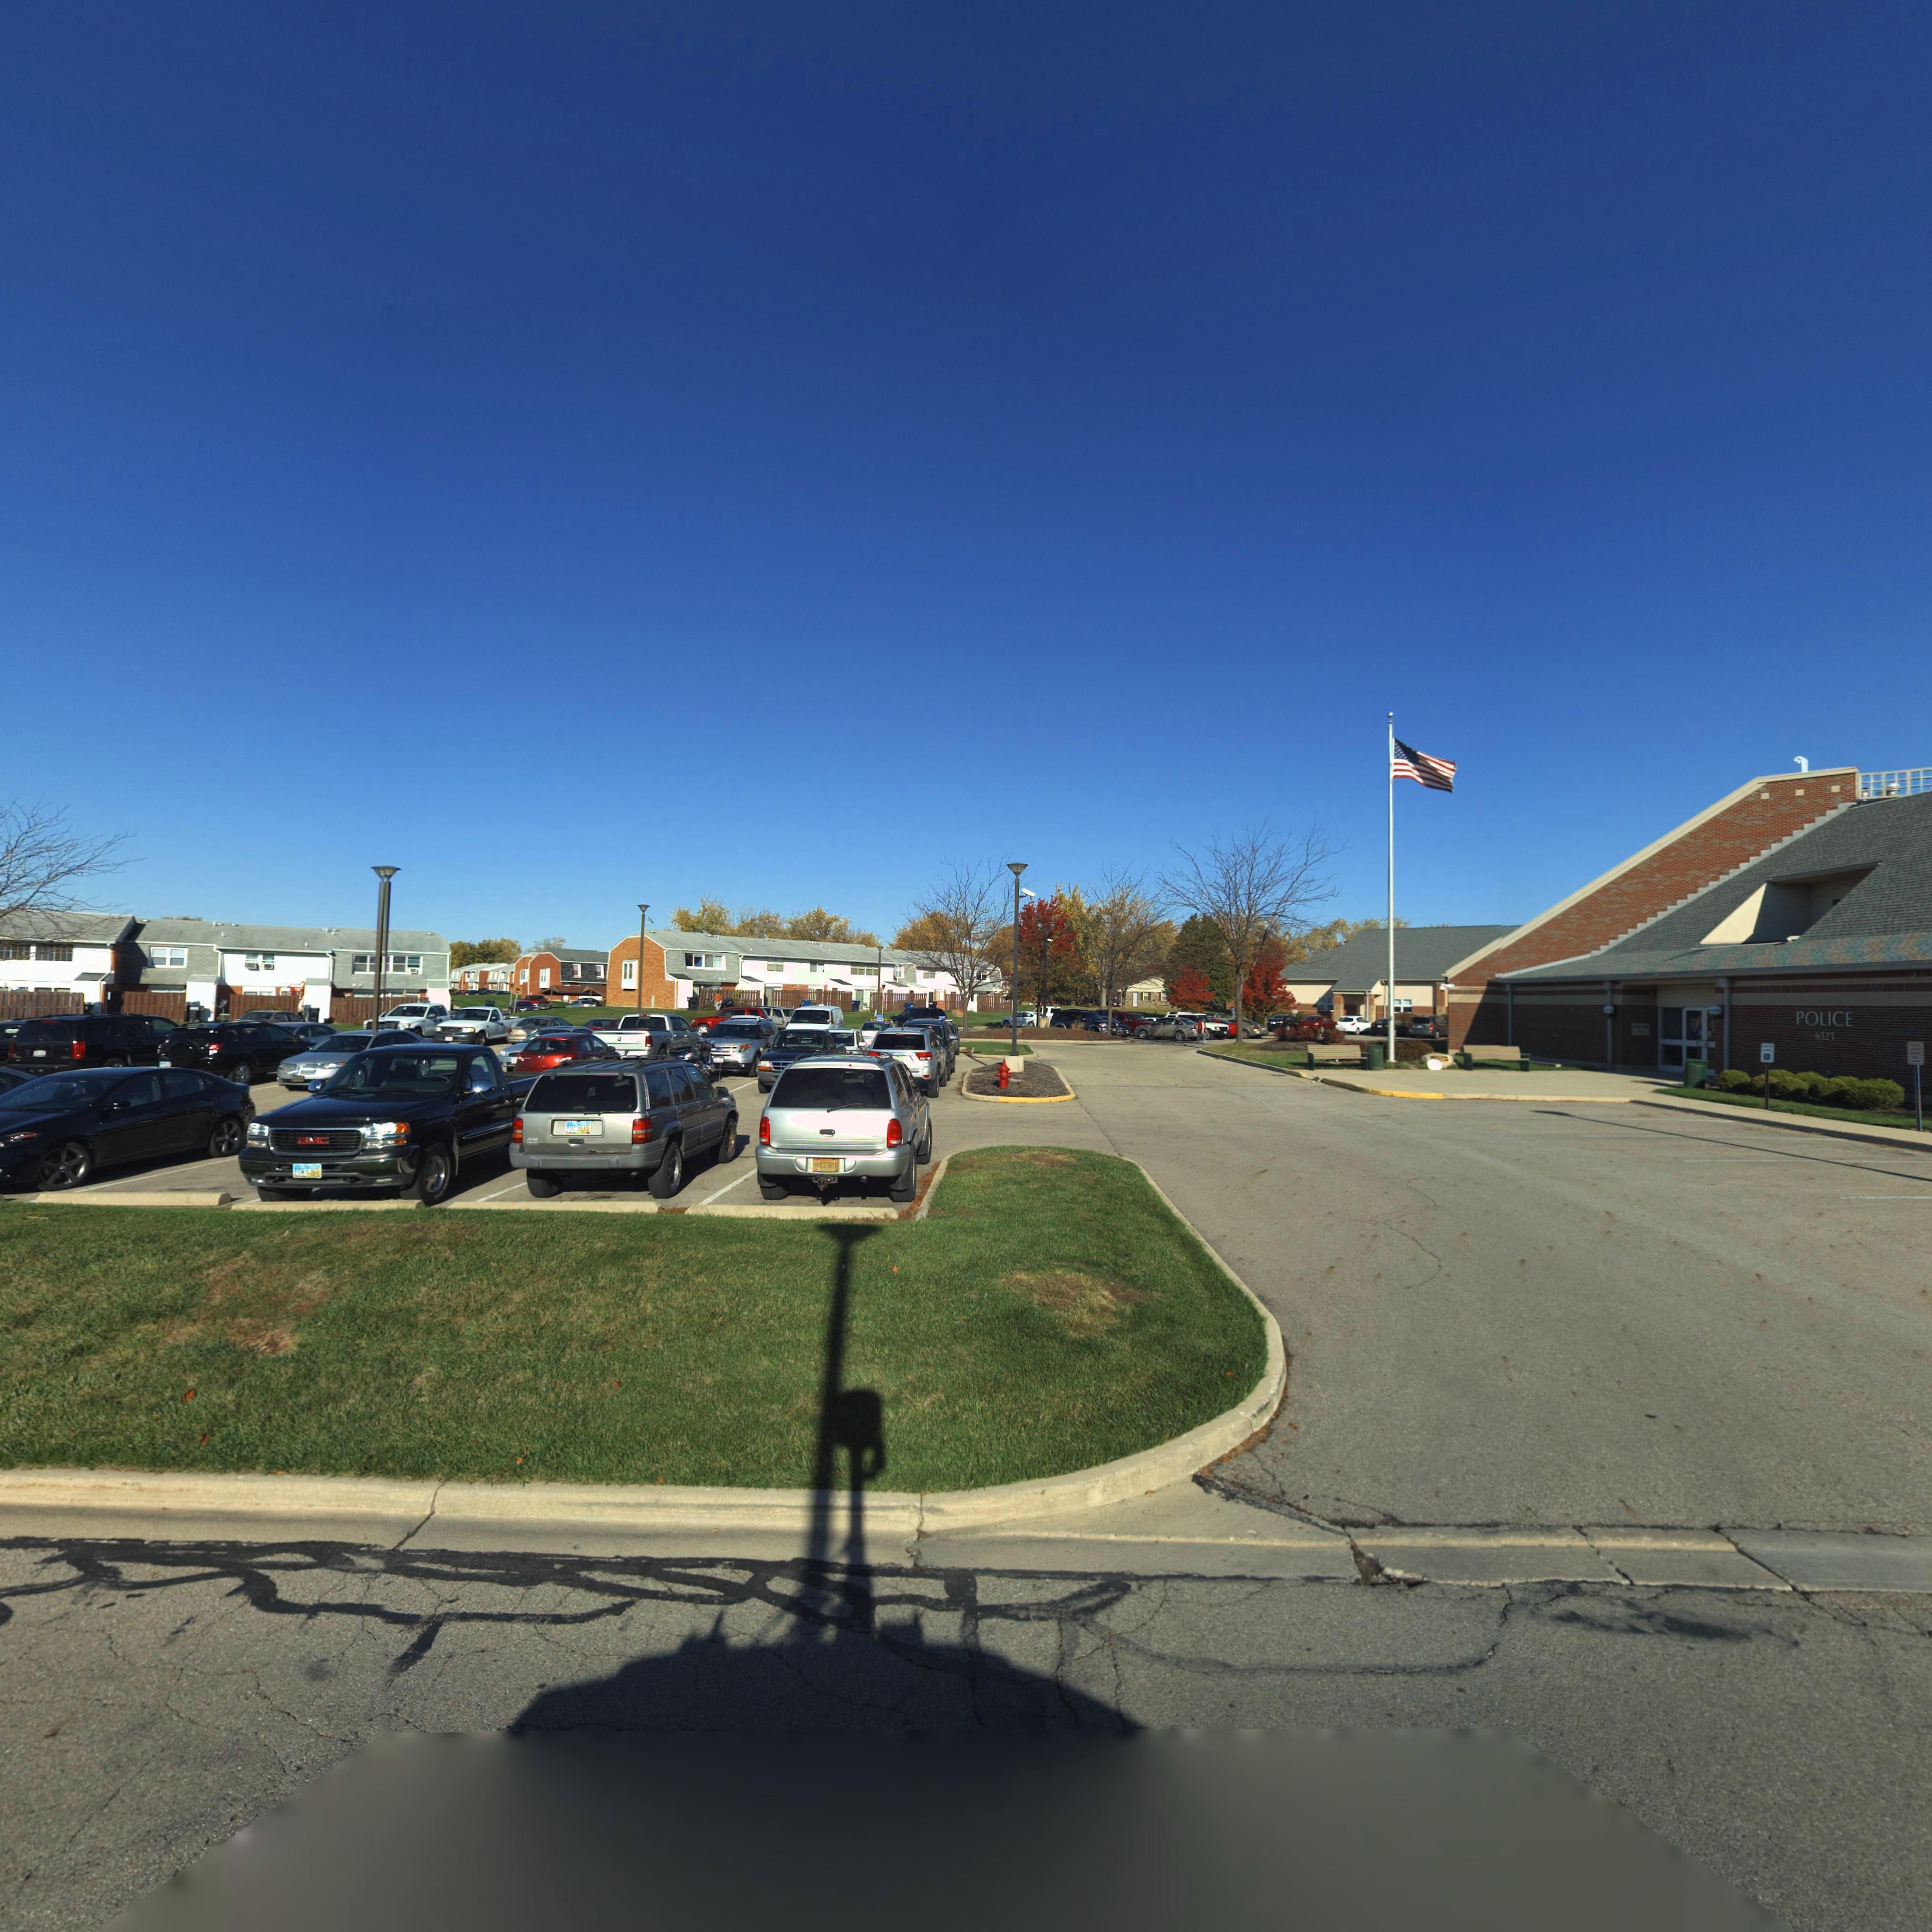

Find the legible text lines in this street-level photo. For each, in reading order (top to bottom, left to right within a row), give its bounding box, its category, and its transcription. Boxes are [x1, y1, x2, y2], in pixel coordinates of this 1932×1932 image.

[1814, 1031, 1835, 1041] StreetNumber: 6121